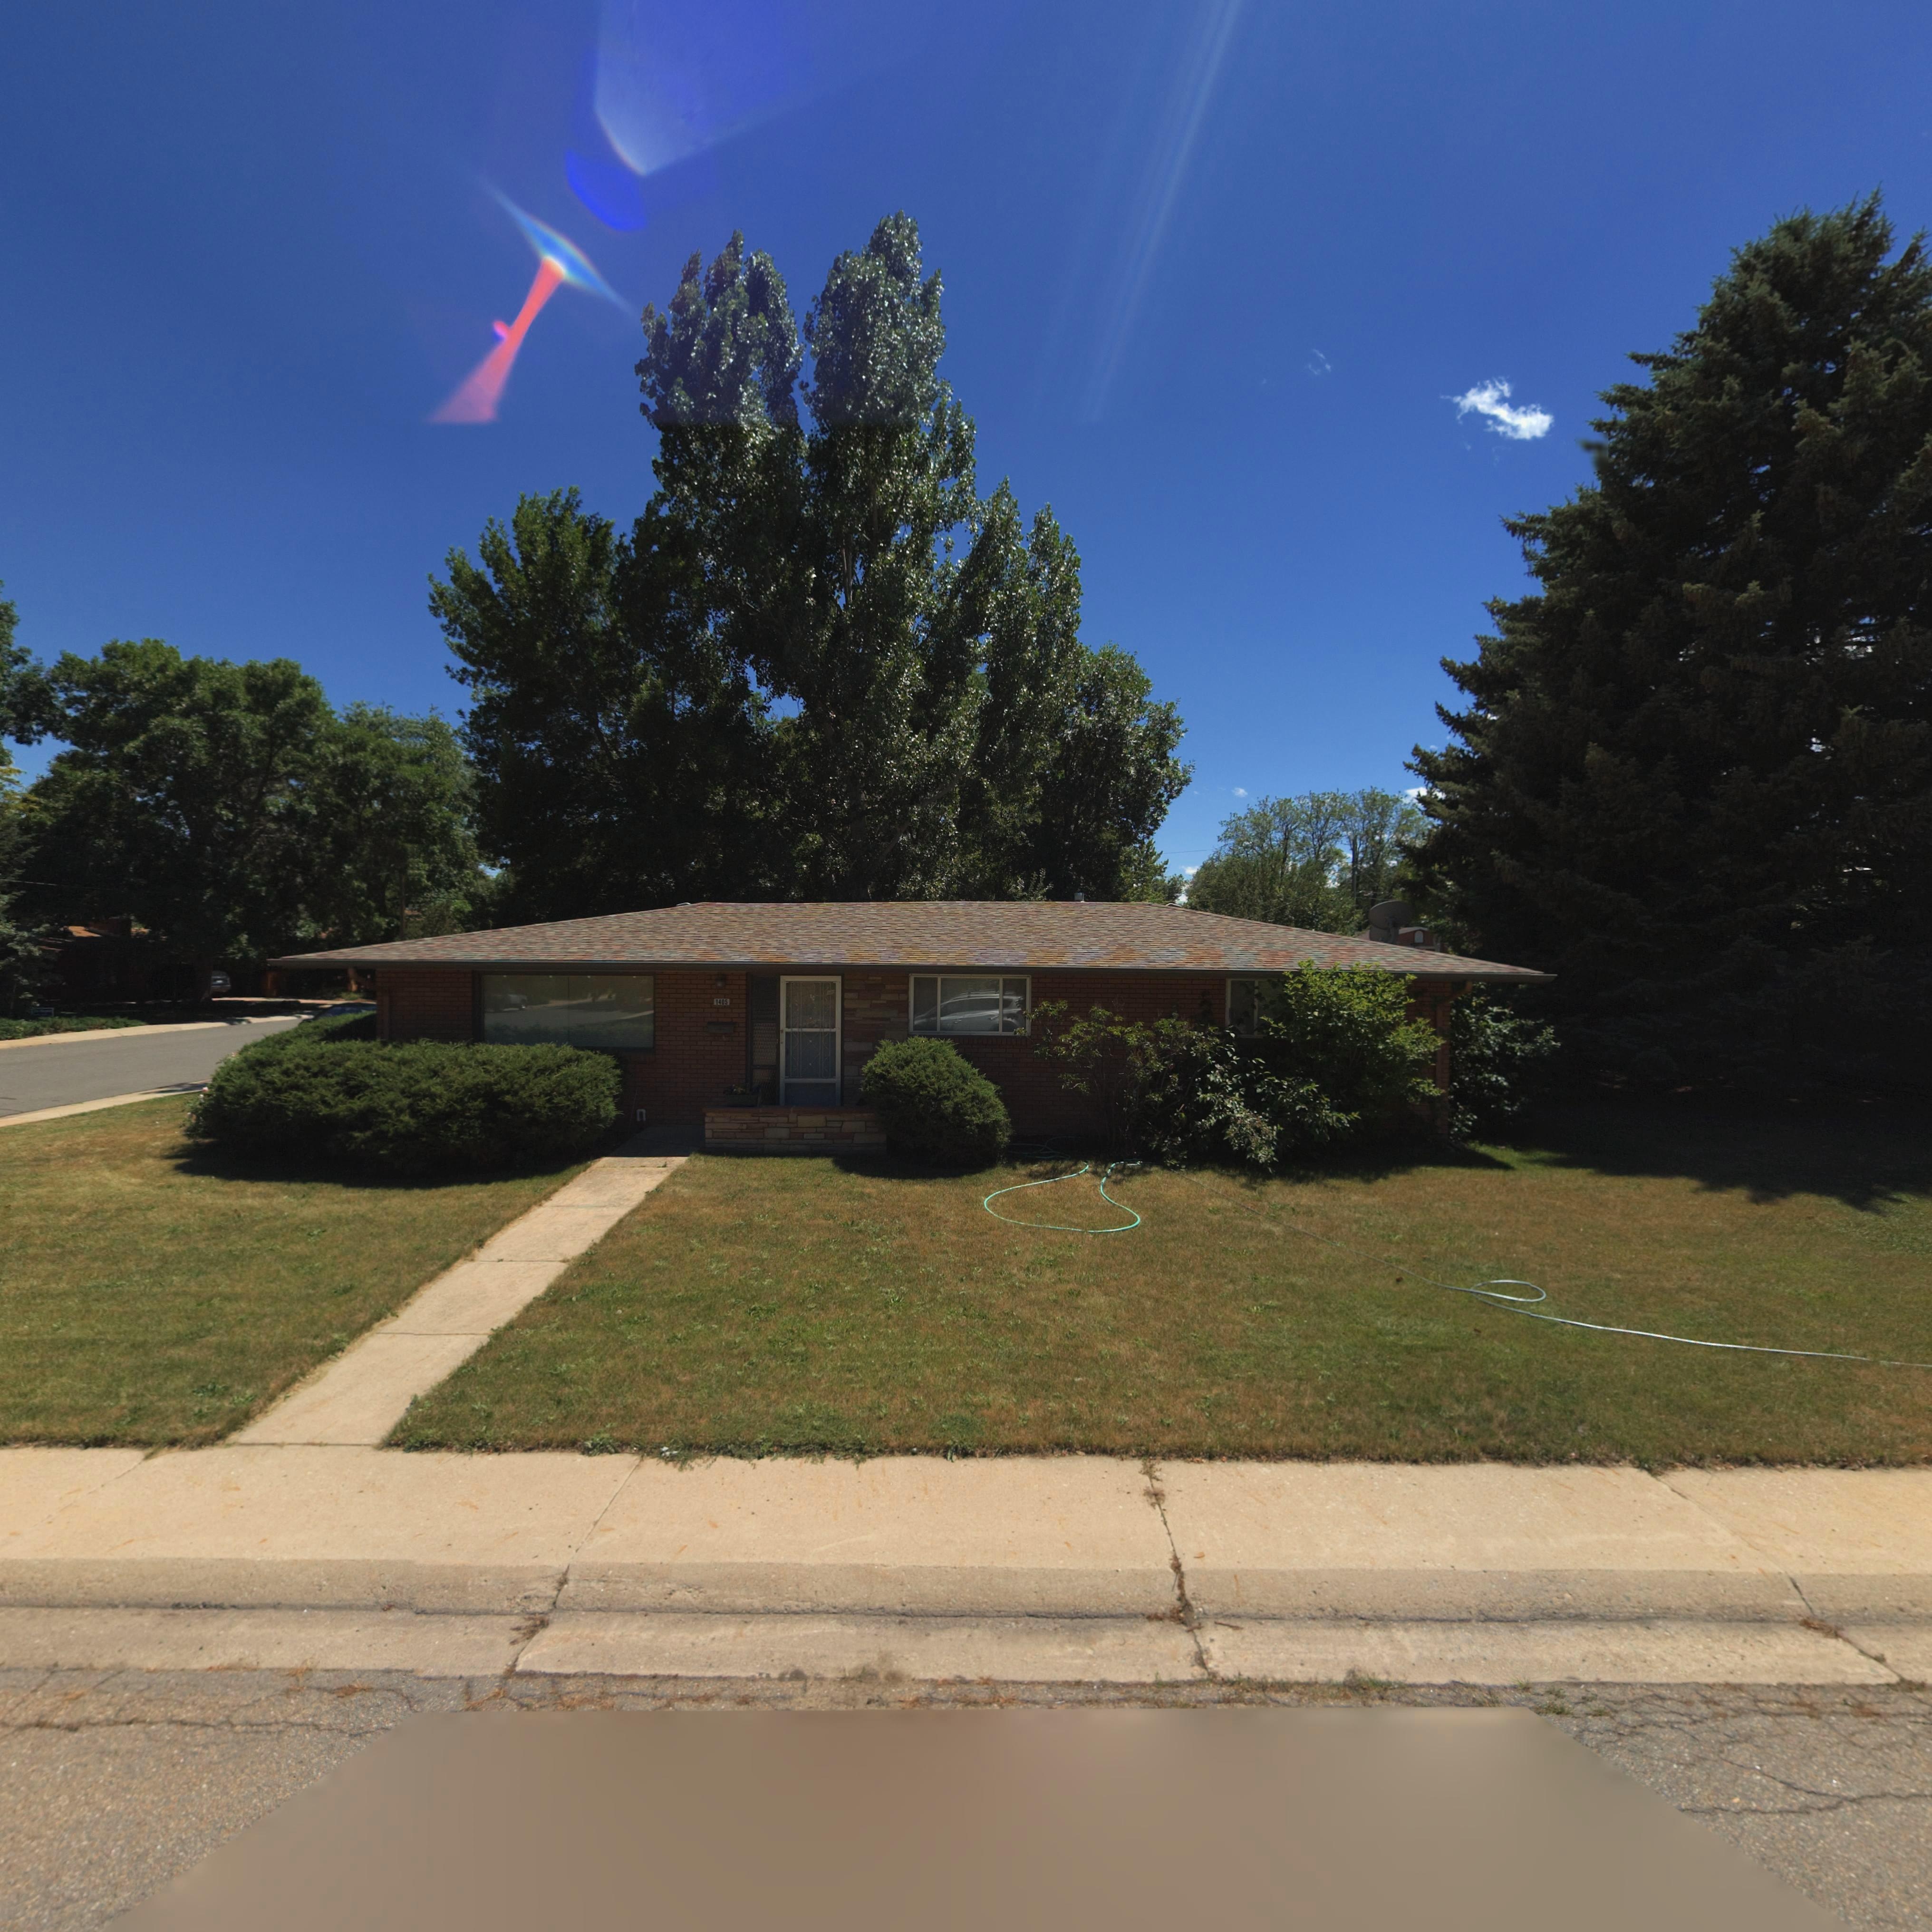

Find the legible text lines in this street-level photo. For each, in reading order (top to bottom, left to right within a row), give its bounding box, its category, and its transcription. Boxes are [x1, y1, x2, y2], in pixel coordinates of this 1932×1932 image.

[715, 999, 728, 1005] StreetNumber: 1405